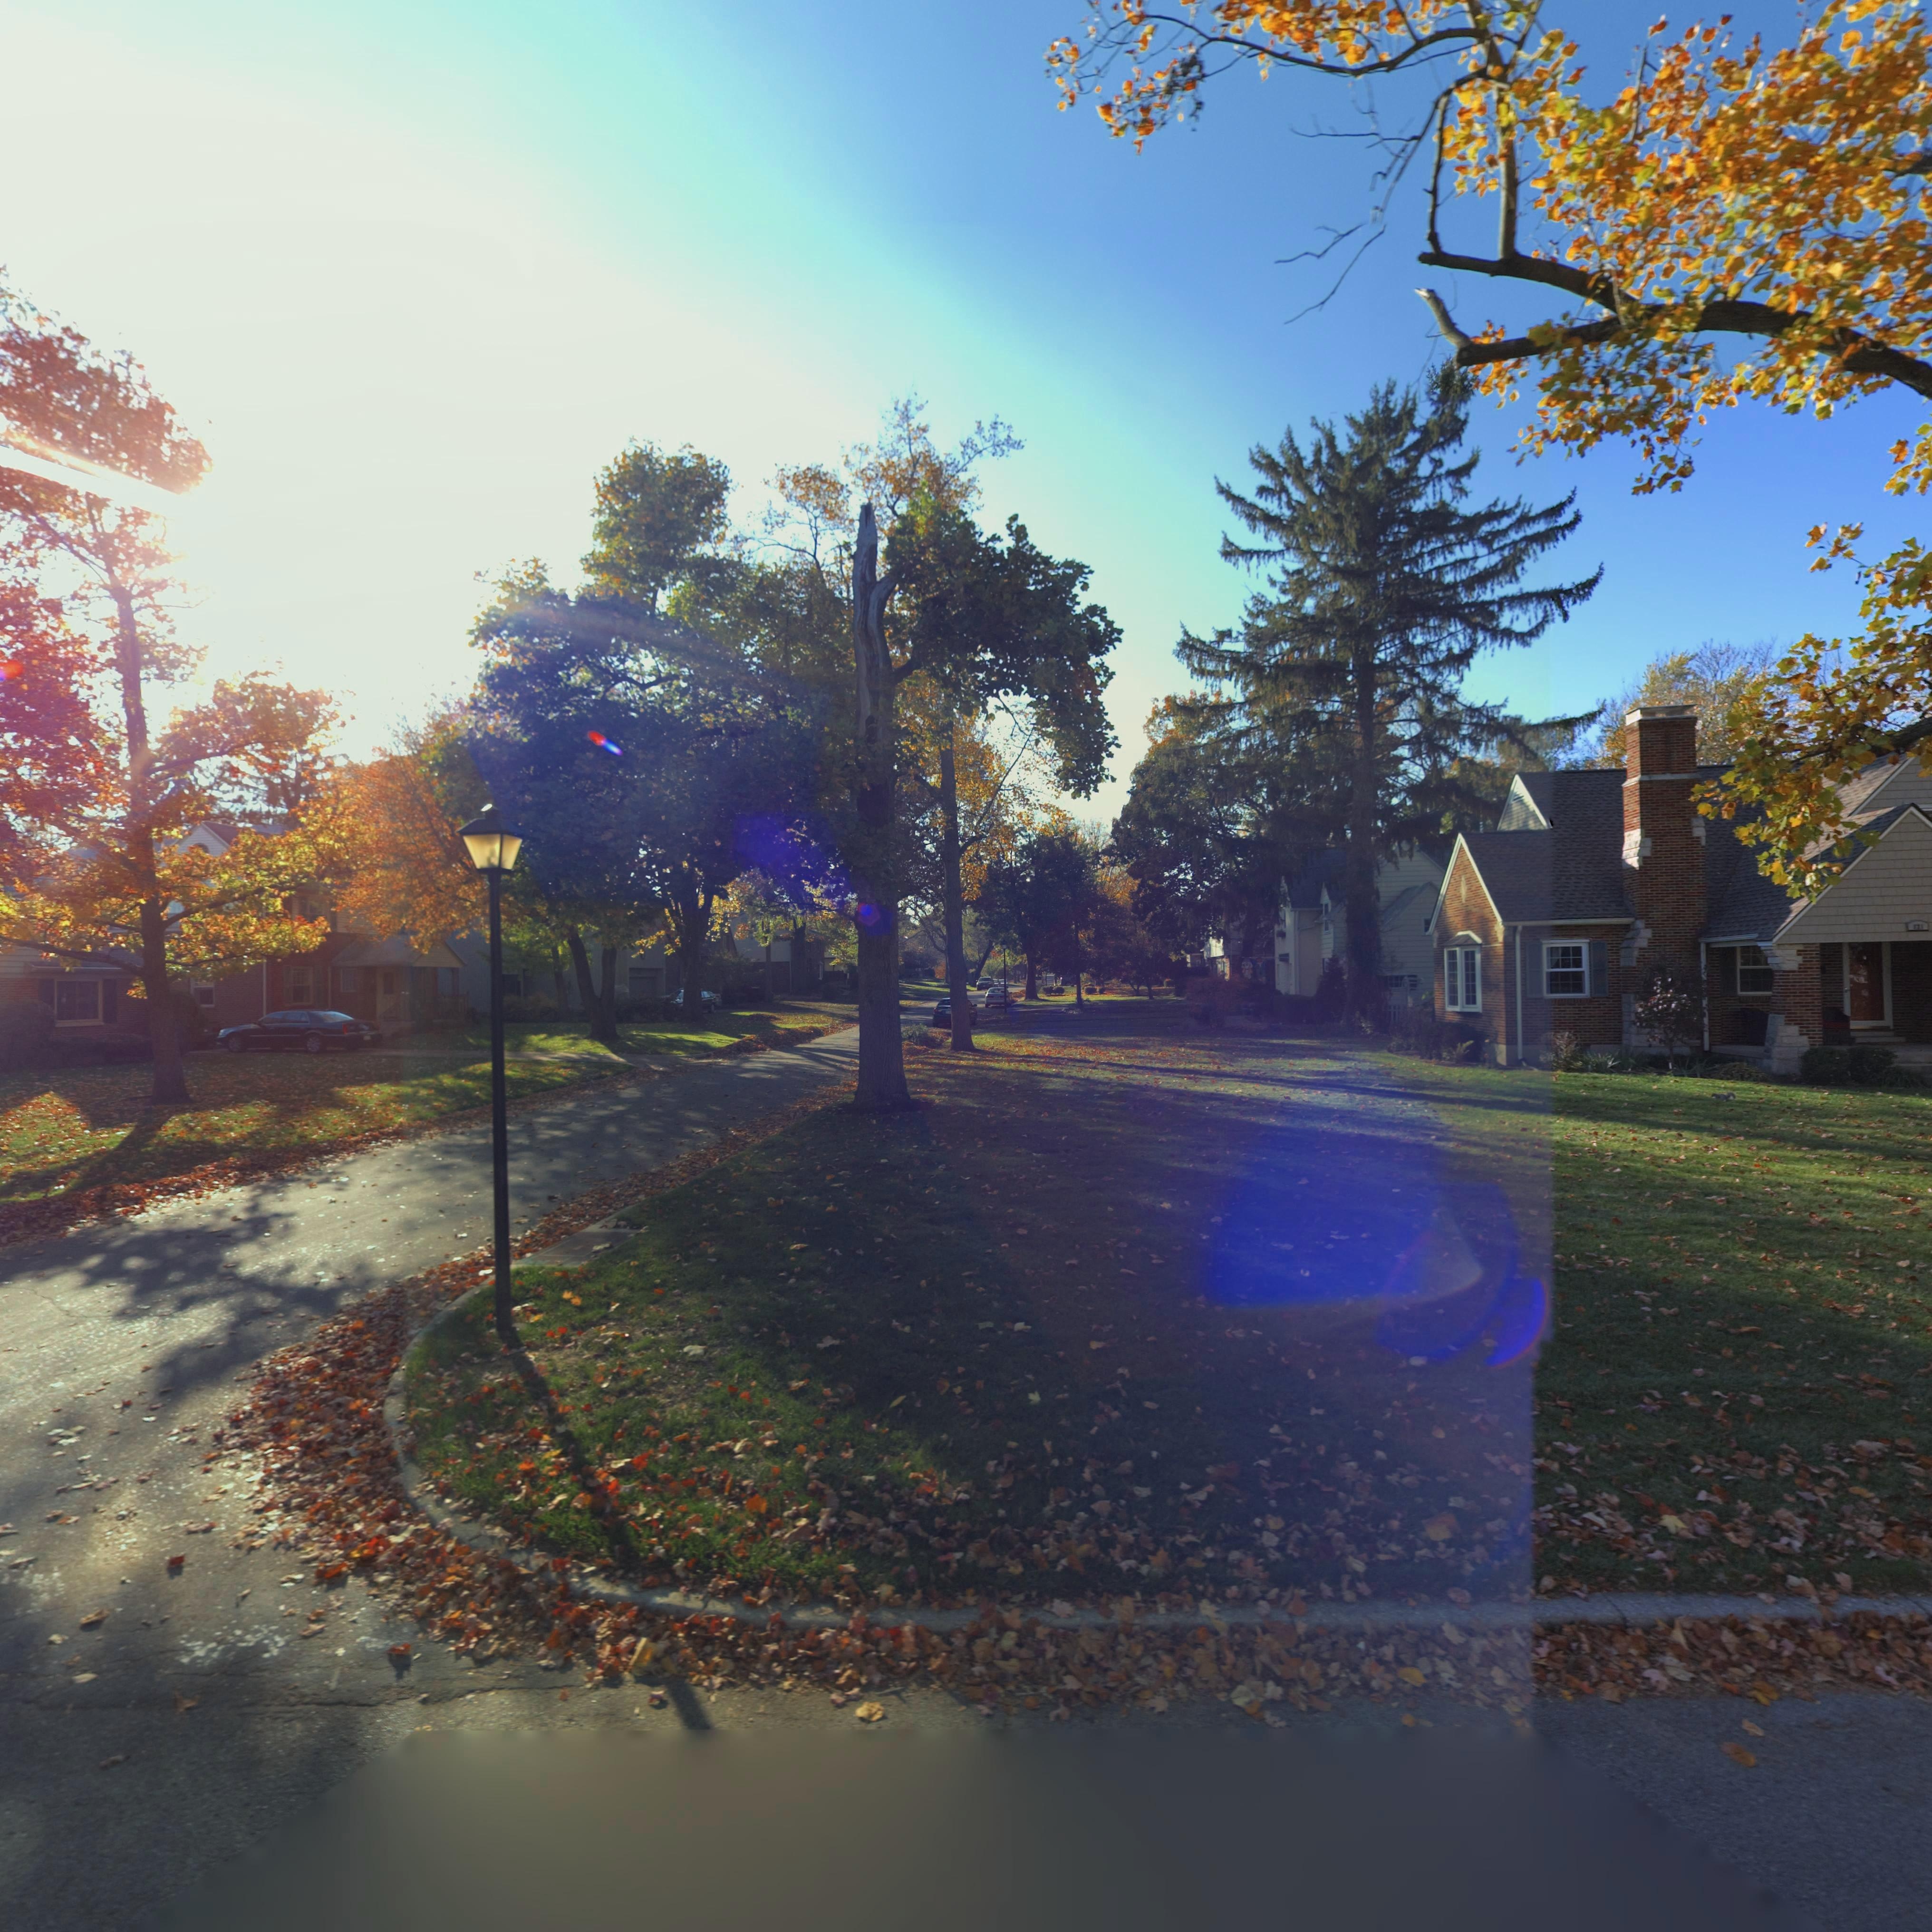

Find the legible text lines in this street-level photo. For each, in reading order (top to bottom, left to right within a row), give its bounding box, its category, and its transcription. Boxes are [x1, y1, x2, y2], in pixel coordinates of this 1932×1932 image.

[1912, 924, 1925, 930] StreetNumber: 8**